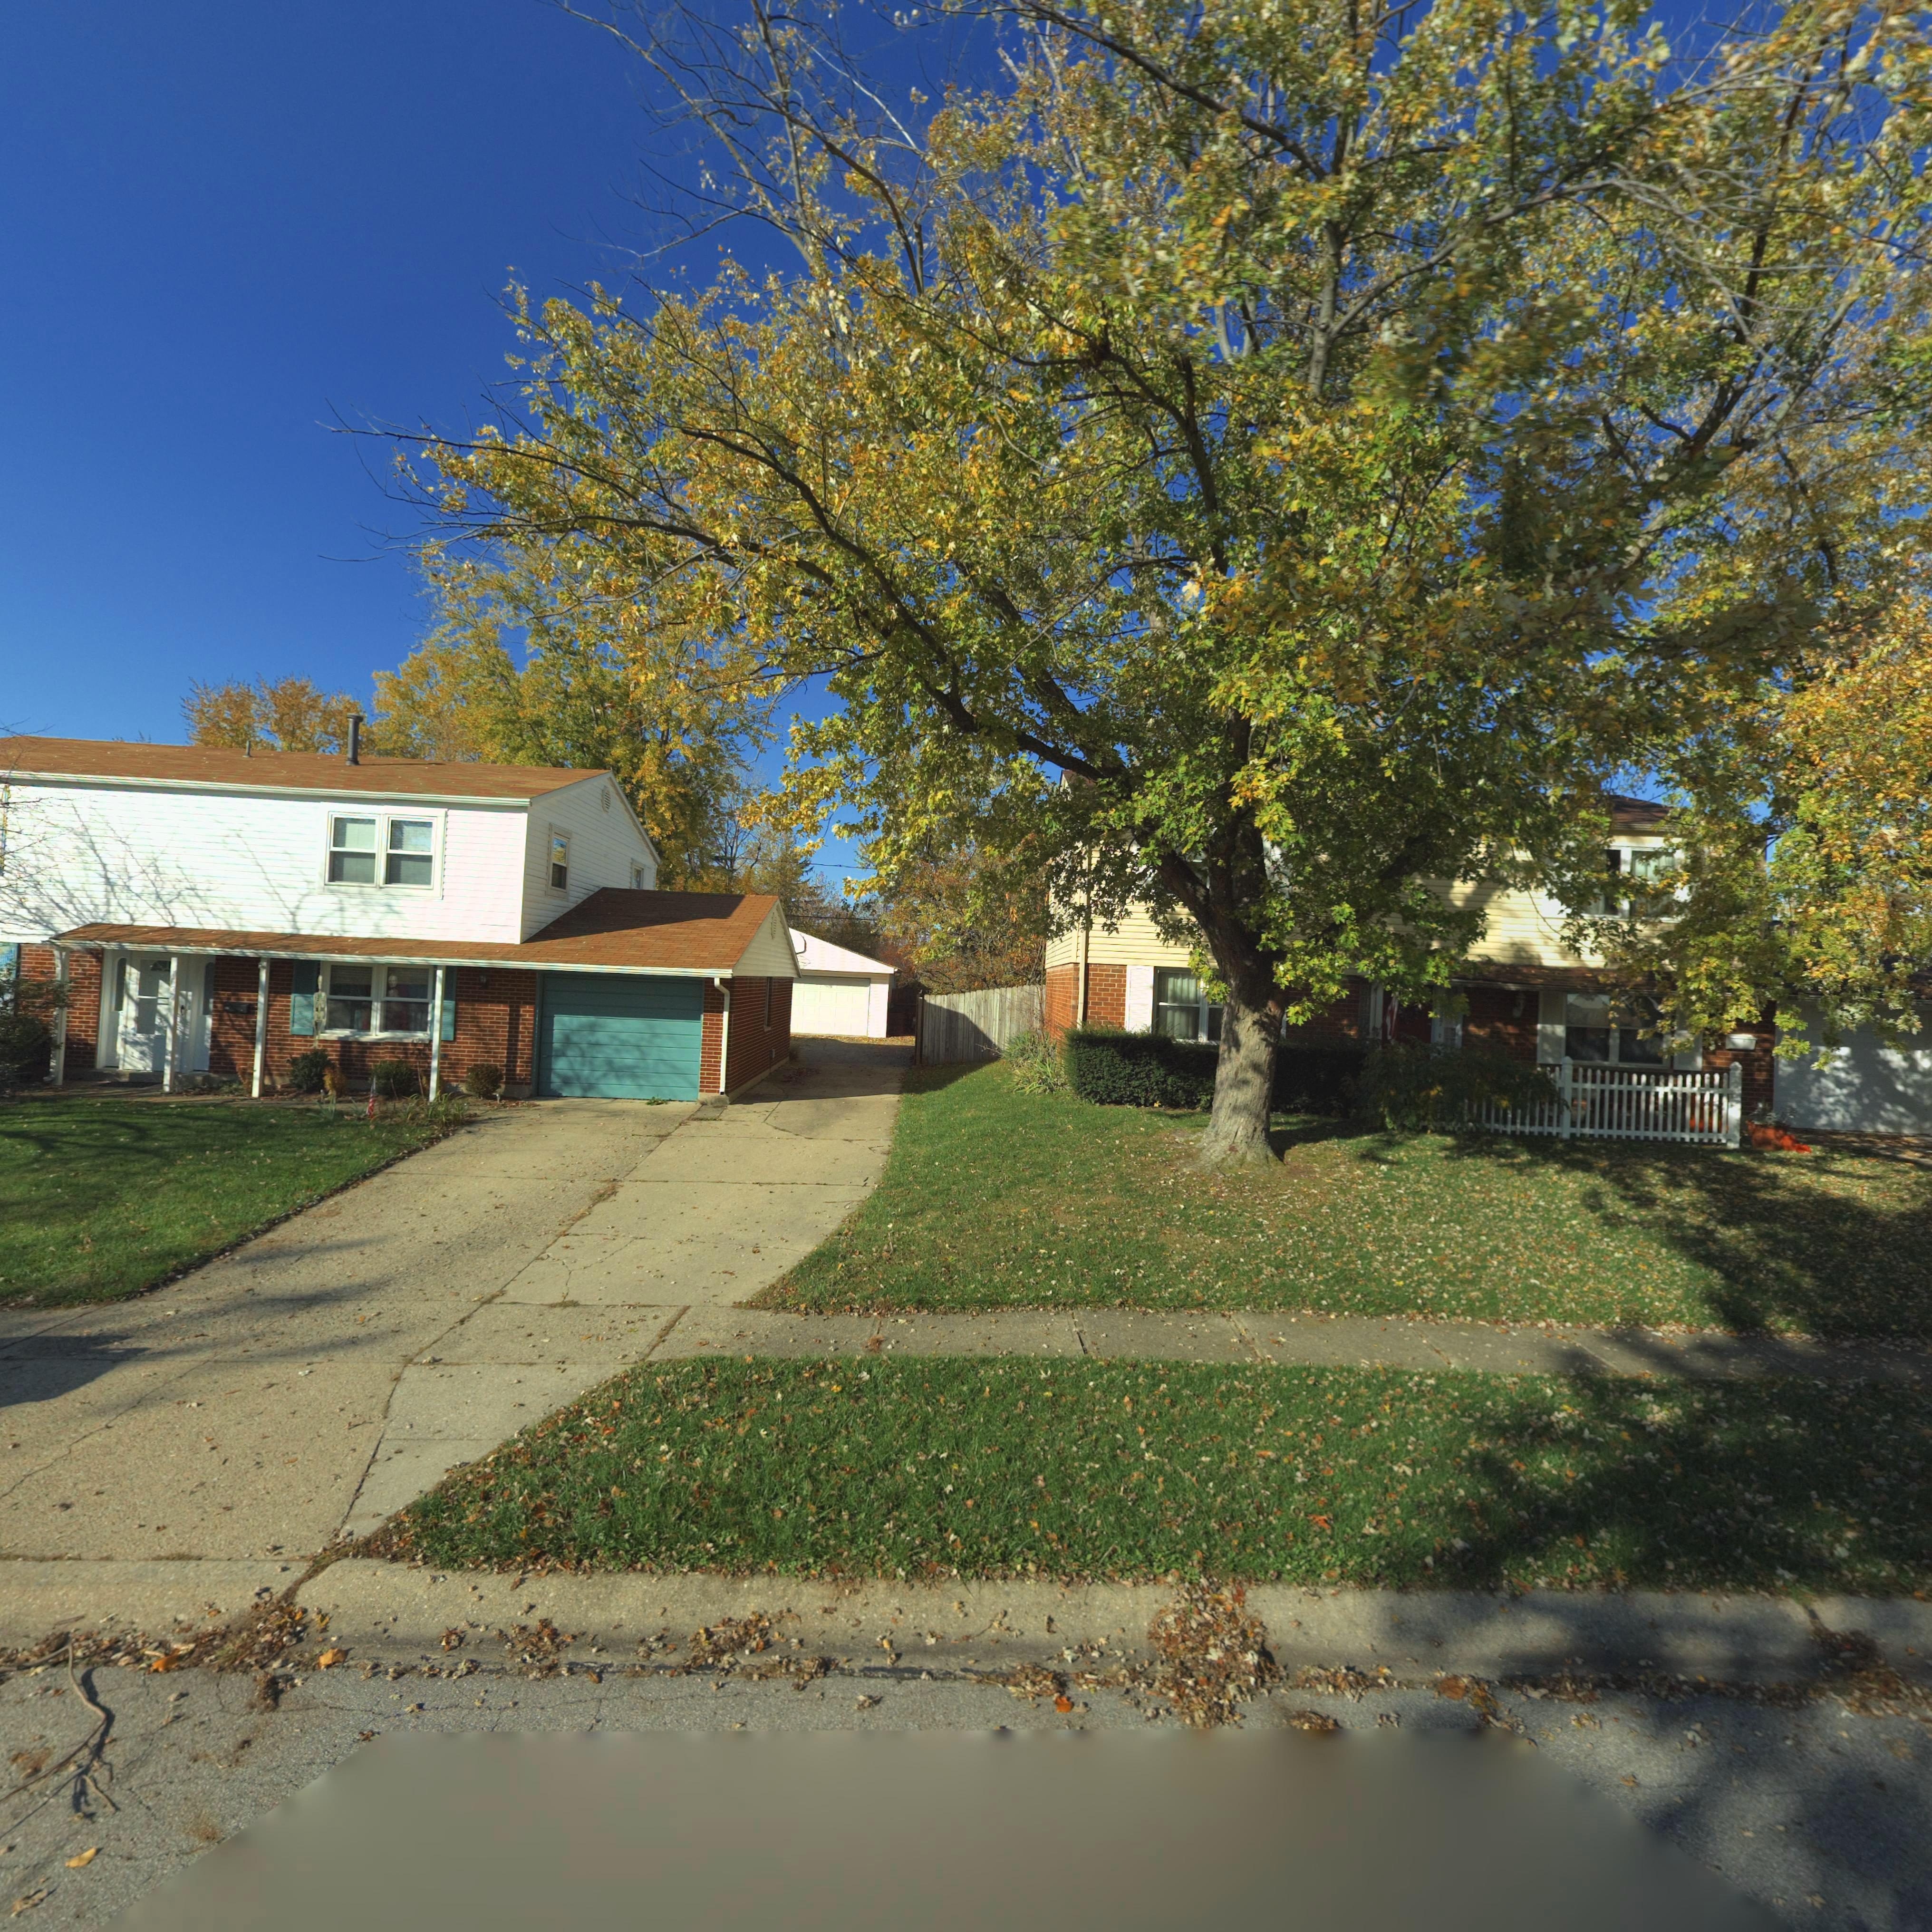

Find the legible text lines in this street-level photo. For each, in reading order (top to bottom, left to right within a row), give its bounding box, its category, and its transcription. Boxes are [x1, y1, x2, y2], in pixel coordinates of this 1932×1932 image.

[1438, 1019, 1444, 1028] StreetNumber: 7